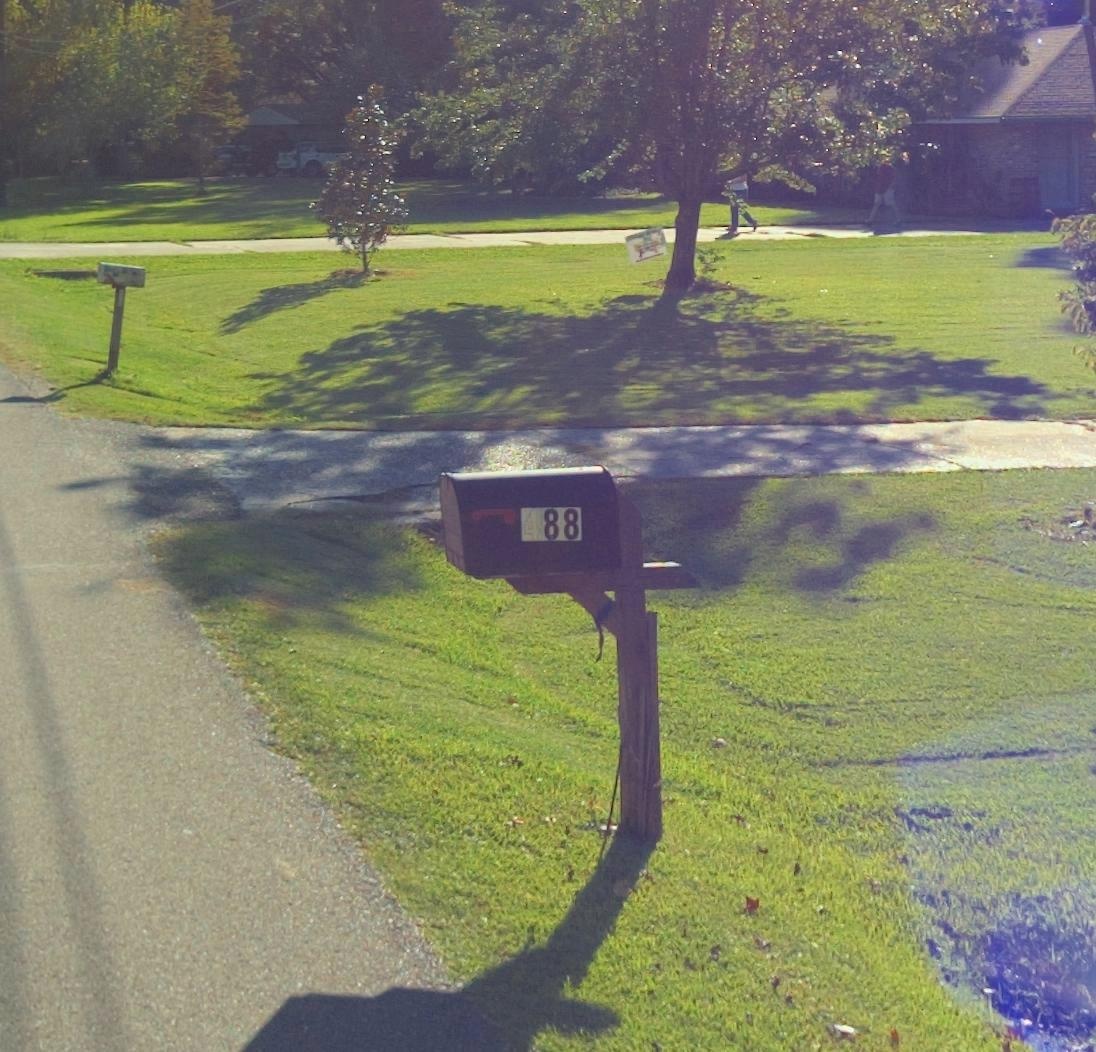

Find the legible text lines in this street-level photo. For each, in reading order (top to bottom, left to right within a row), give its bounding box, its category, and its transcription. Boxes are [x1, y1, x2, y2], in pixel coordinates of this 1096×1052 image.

[522, 506, 581, 543] StreetNumber: 488